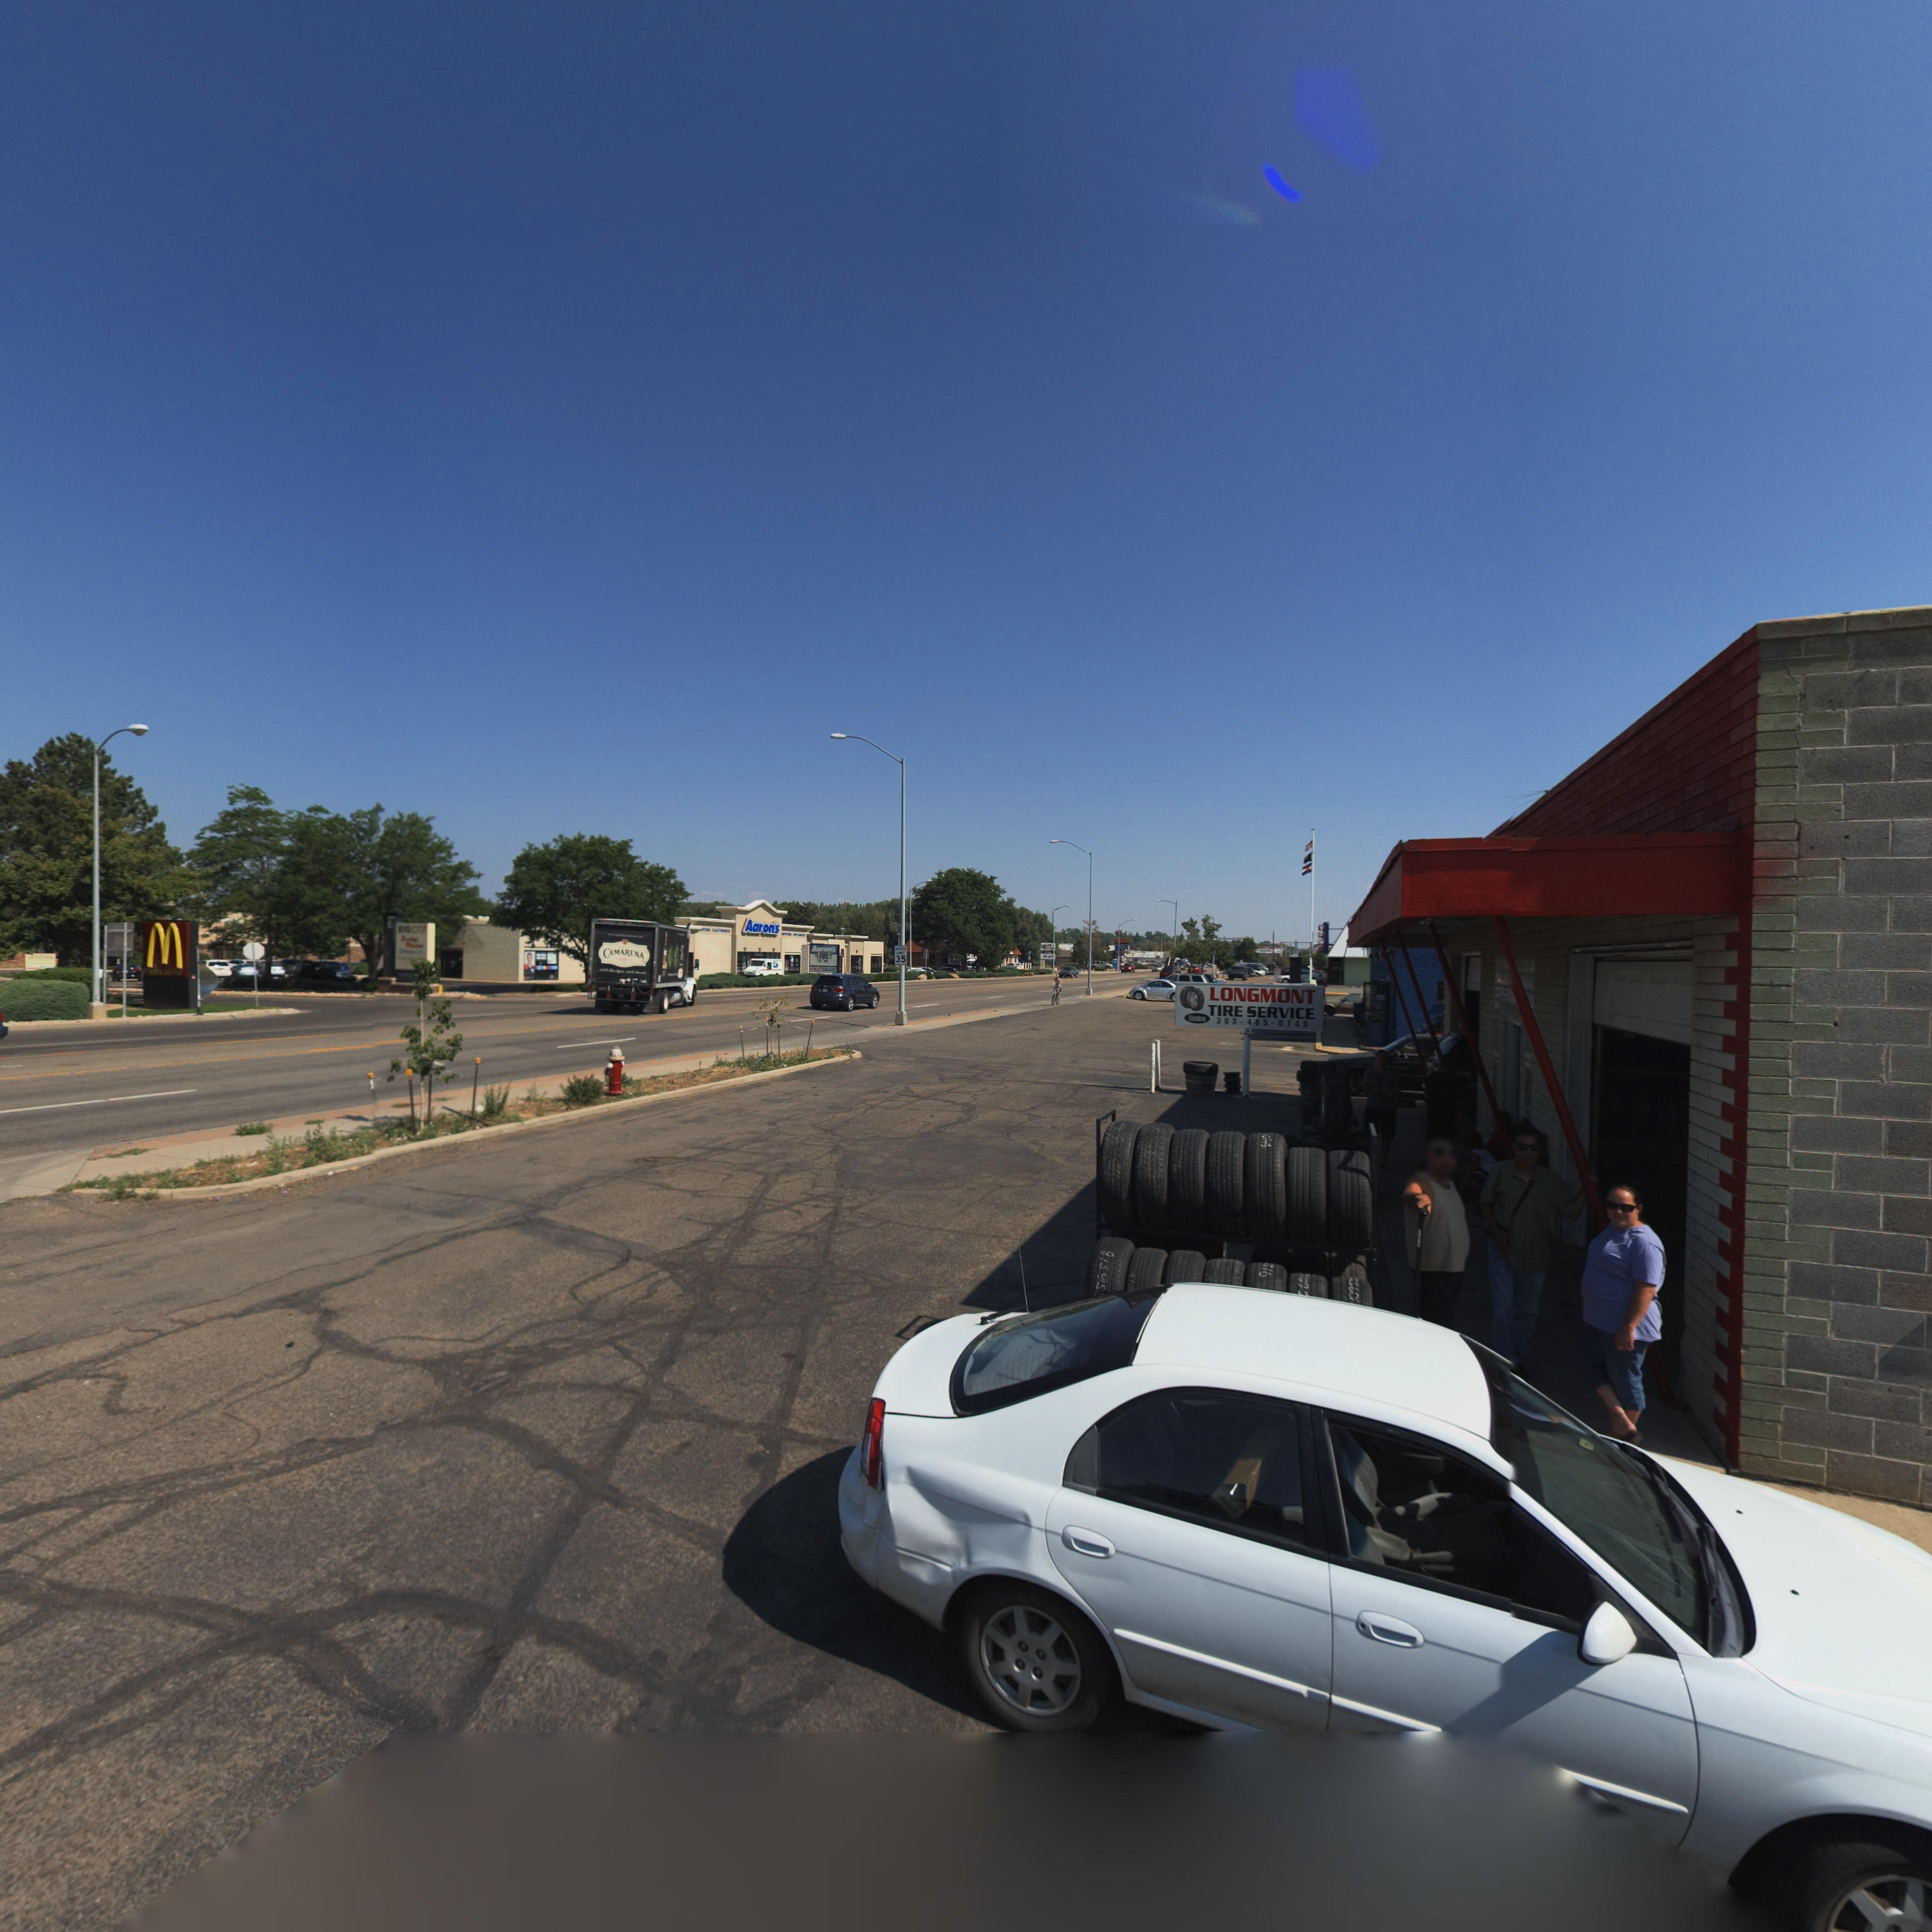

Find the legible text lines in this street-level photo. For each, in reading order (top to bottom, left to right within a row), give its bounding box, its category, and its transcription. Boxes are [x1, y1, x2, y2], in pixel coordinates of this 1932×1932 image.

[742, 918, 780, 935] BusinessName: Aaron's
[811, 945, 835, 952] BusinessName: Aarons
[810, 966, 836, 972] BusinessName: FA*T S**NS
[1209, 986, 1317, 1005] BusinessName: LONGMONT
[1207, 1004, 1315, 1020] BusinessName: TIRE SERVICE